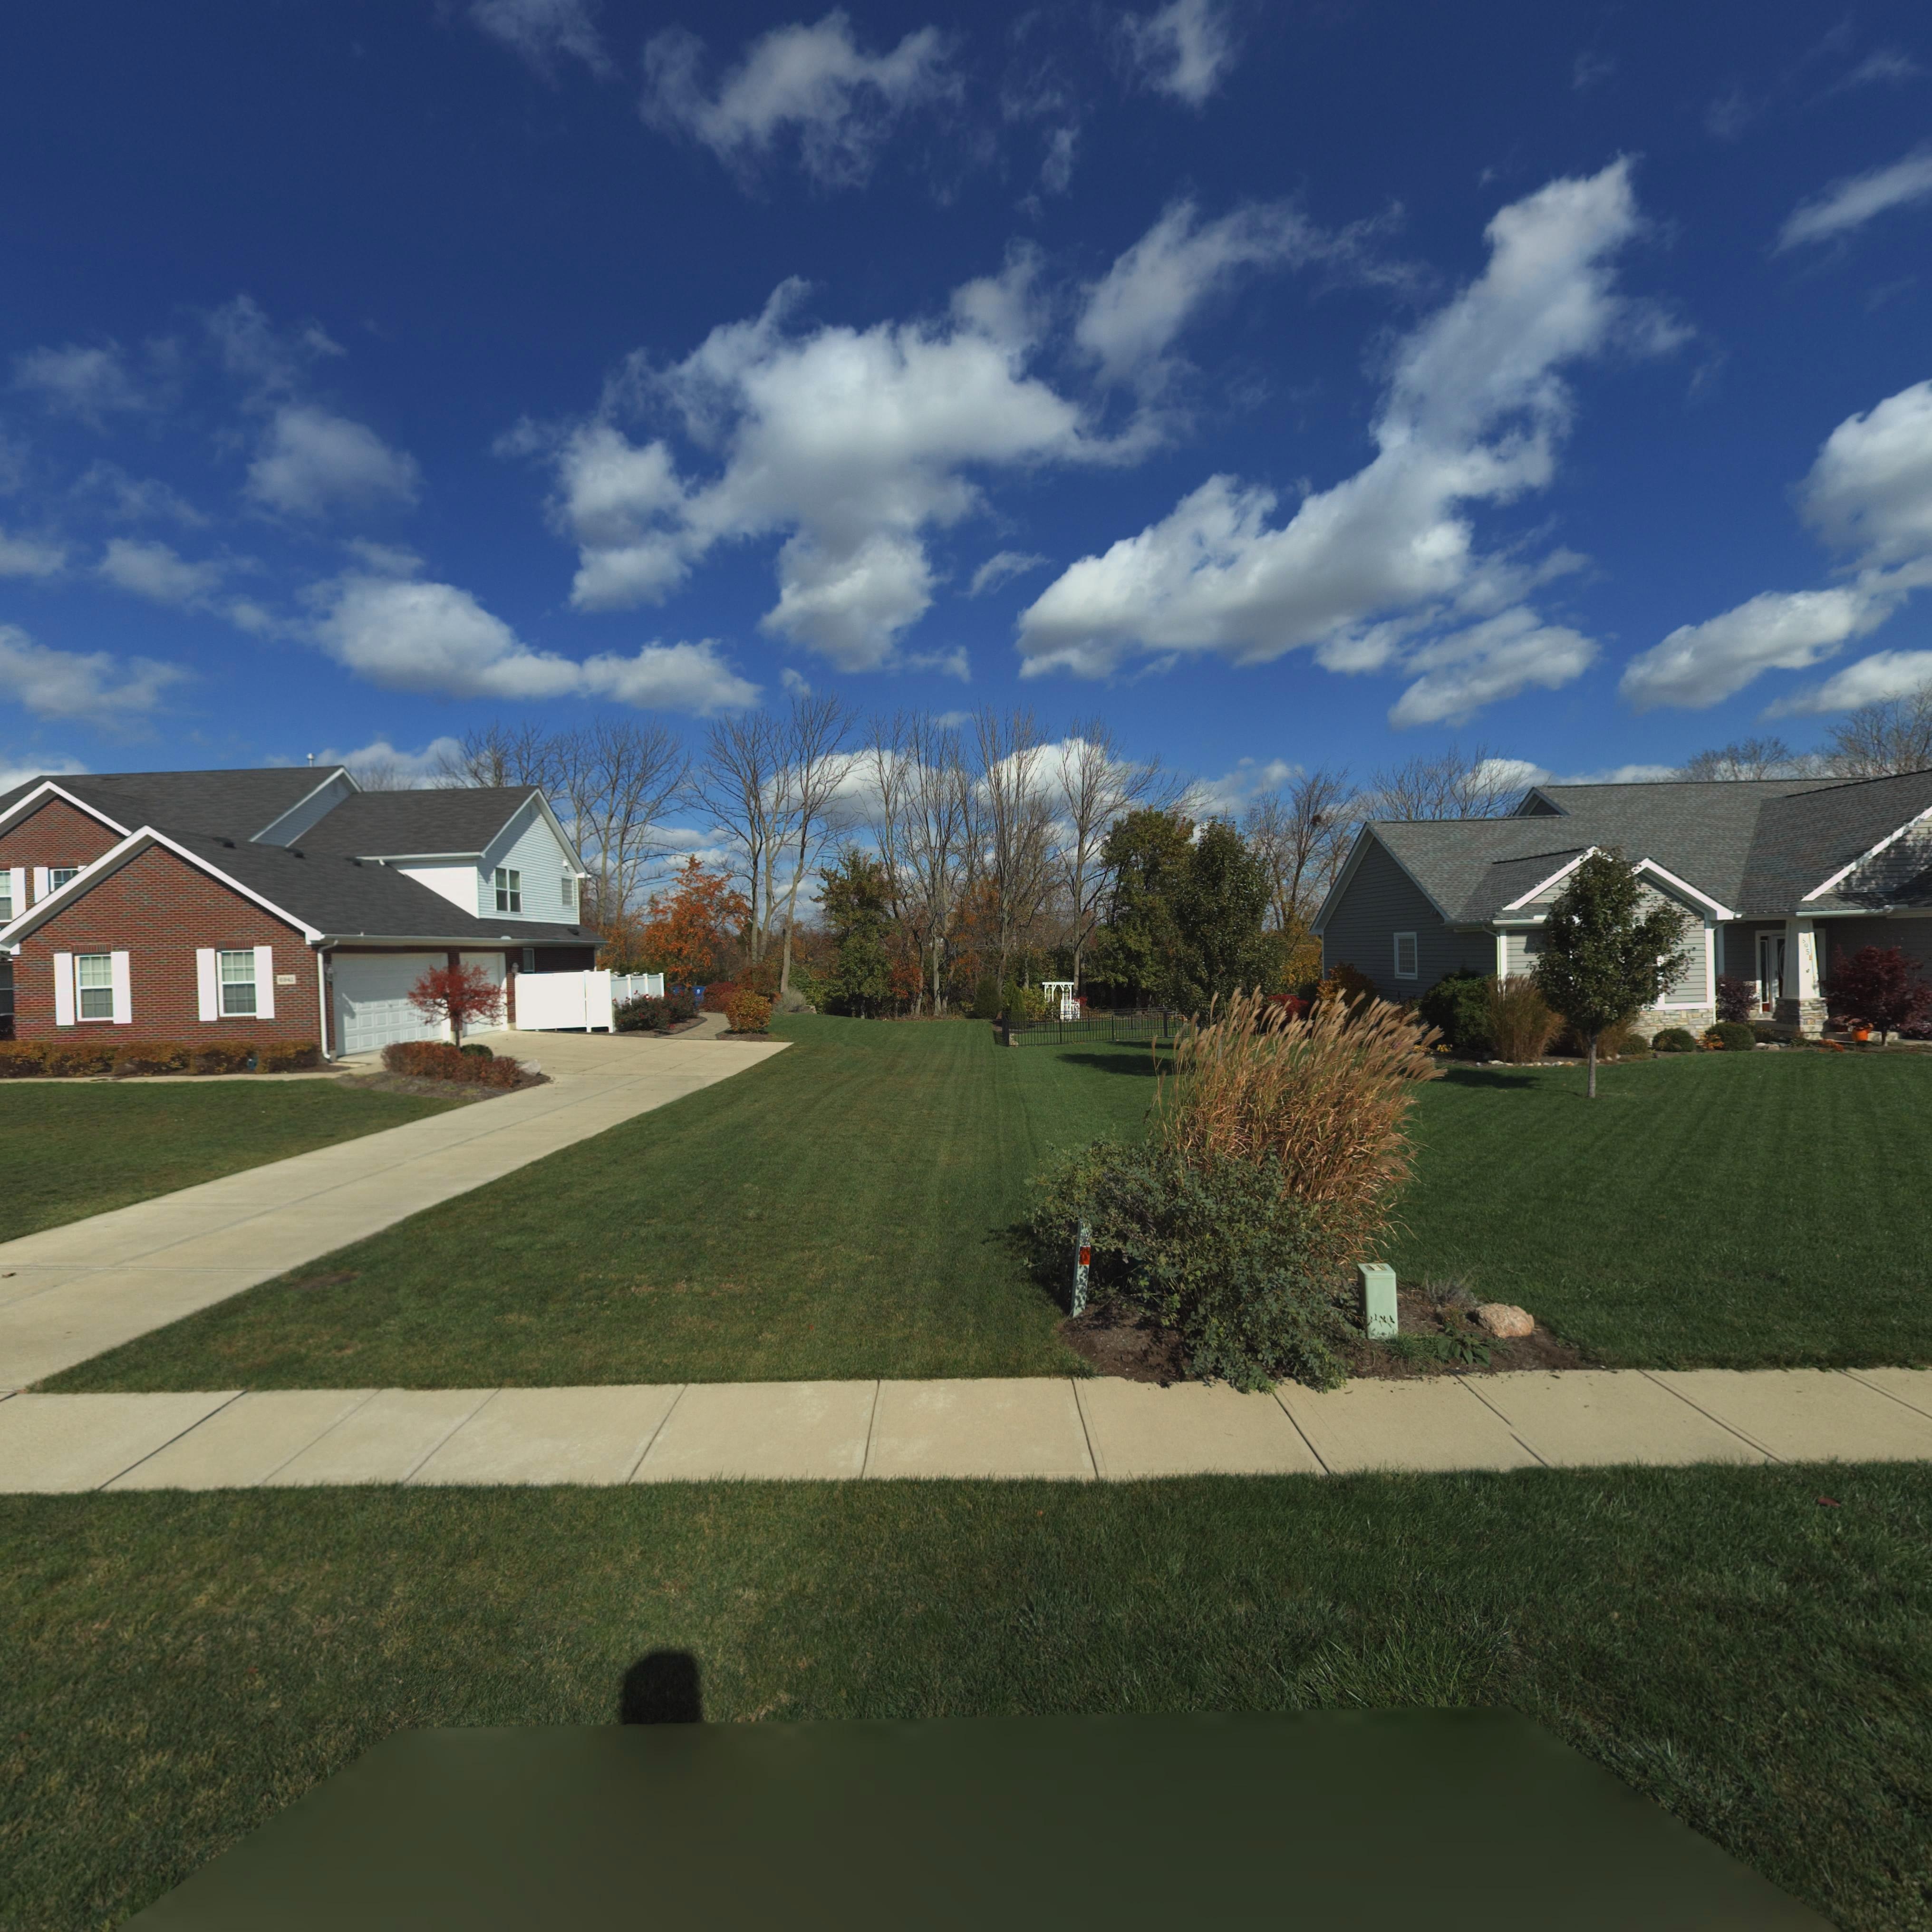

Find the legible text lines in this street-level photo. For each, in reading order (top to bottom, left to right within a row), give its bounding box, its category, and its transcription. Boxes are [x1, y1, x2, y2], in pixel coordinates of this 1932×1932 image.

[1801, 937, 1810, 956] StreetNumber: 695
[278, 976, 295, 983] StreetNumber: 6941